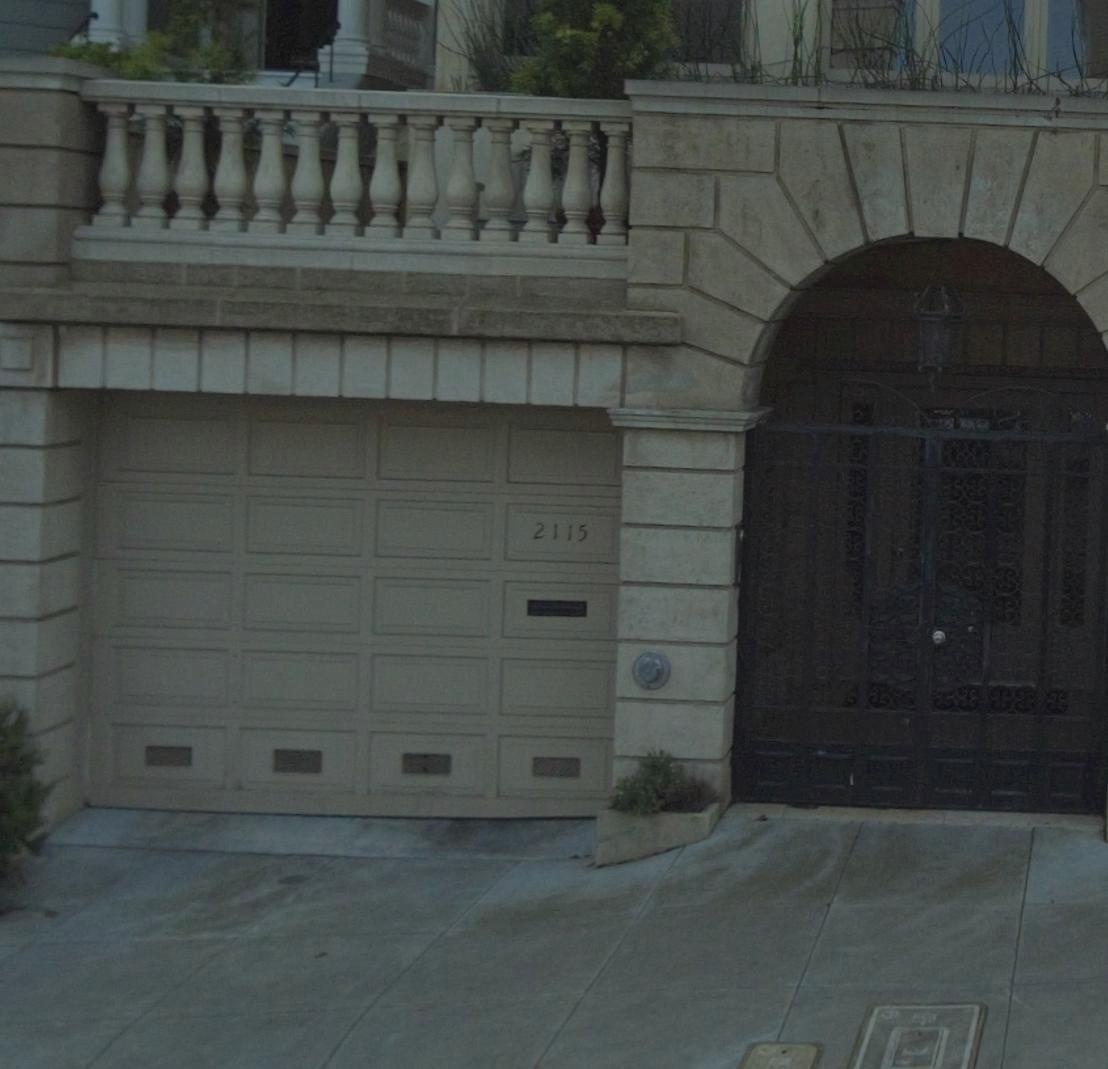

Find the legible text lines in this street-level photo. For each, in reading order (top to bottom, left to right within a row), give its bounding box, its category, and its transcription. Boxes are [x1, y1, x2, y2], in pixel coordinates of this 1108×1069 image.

[530, 520, 590, 544] StreetNumber: 2115